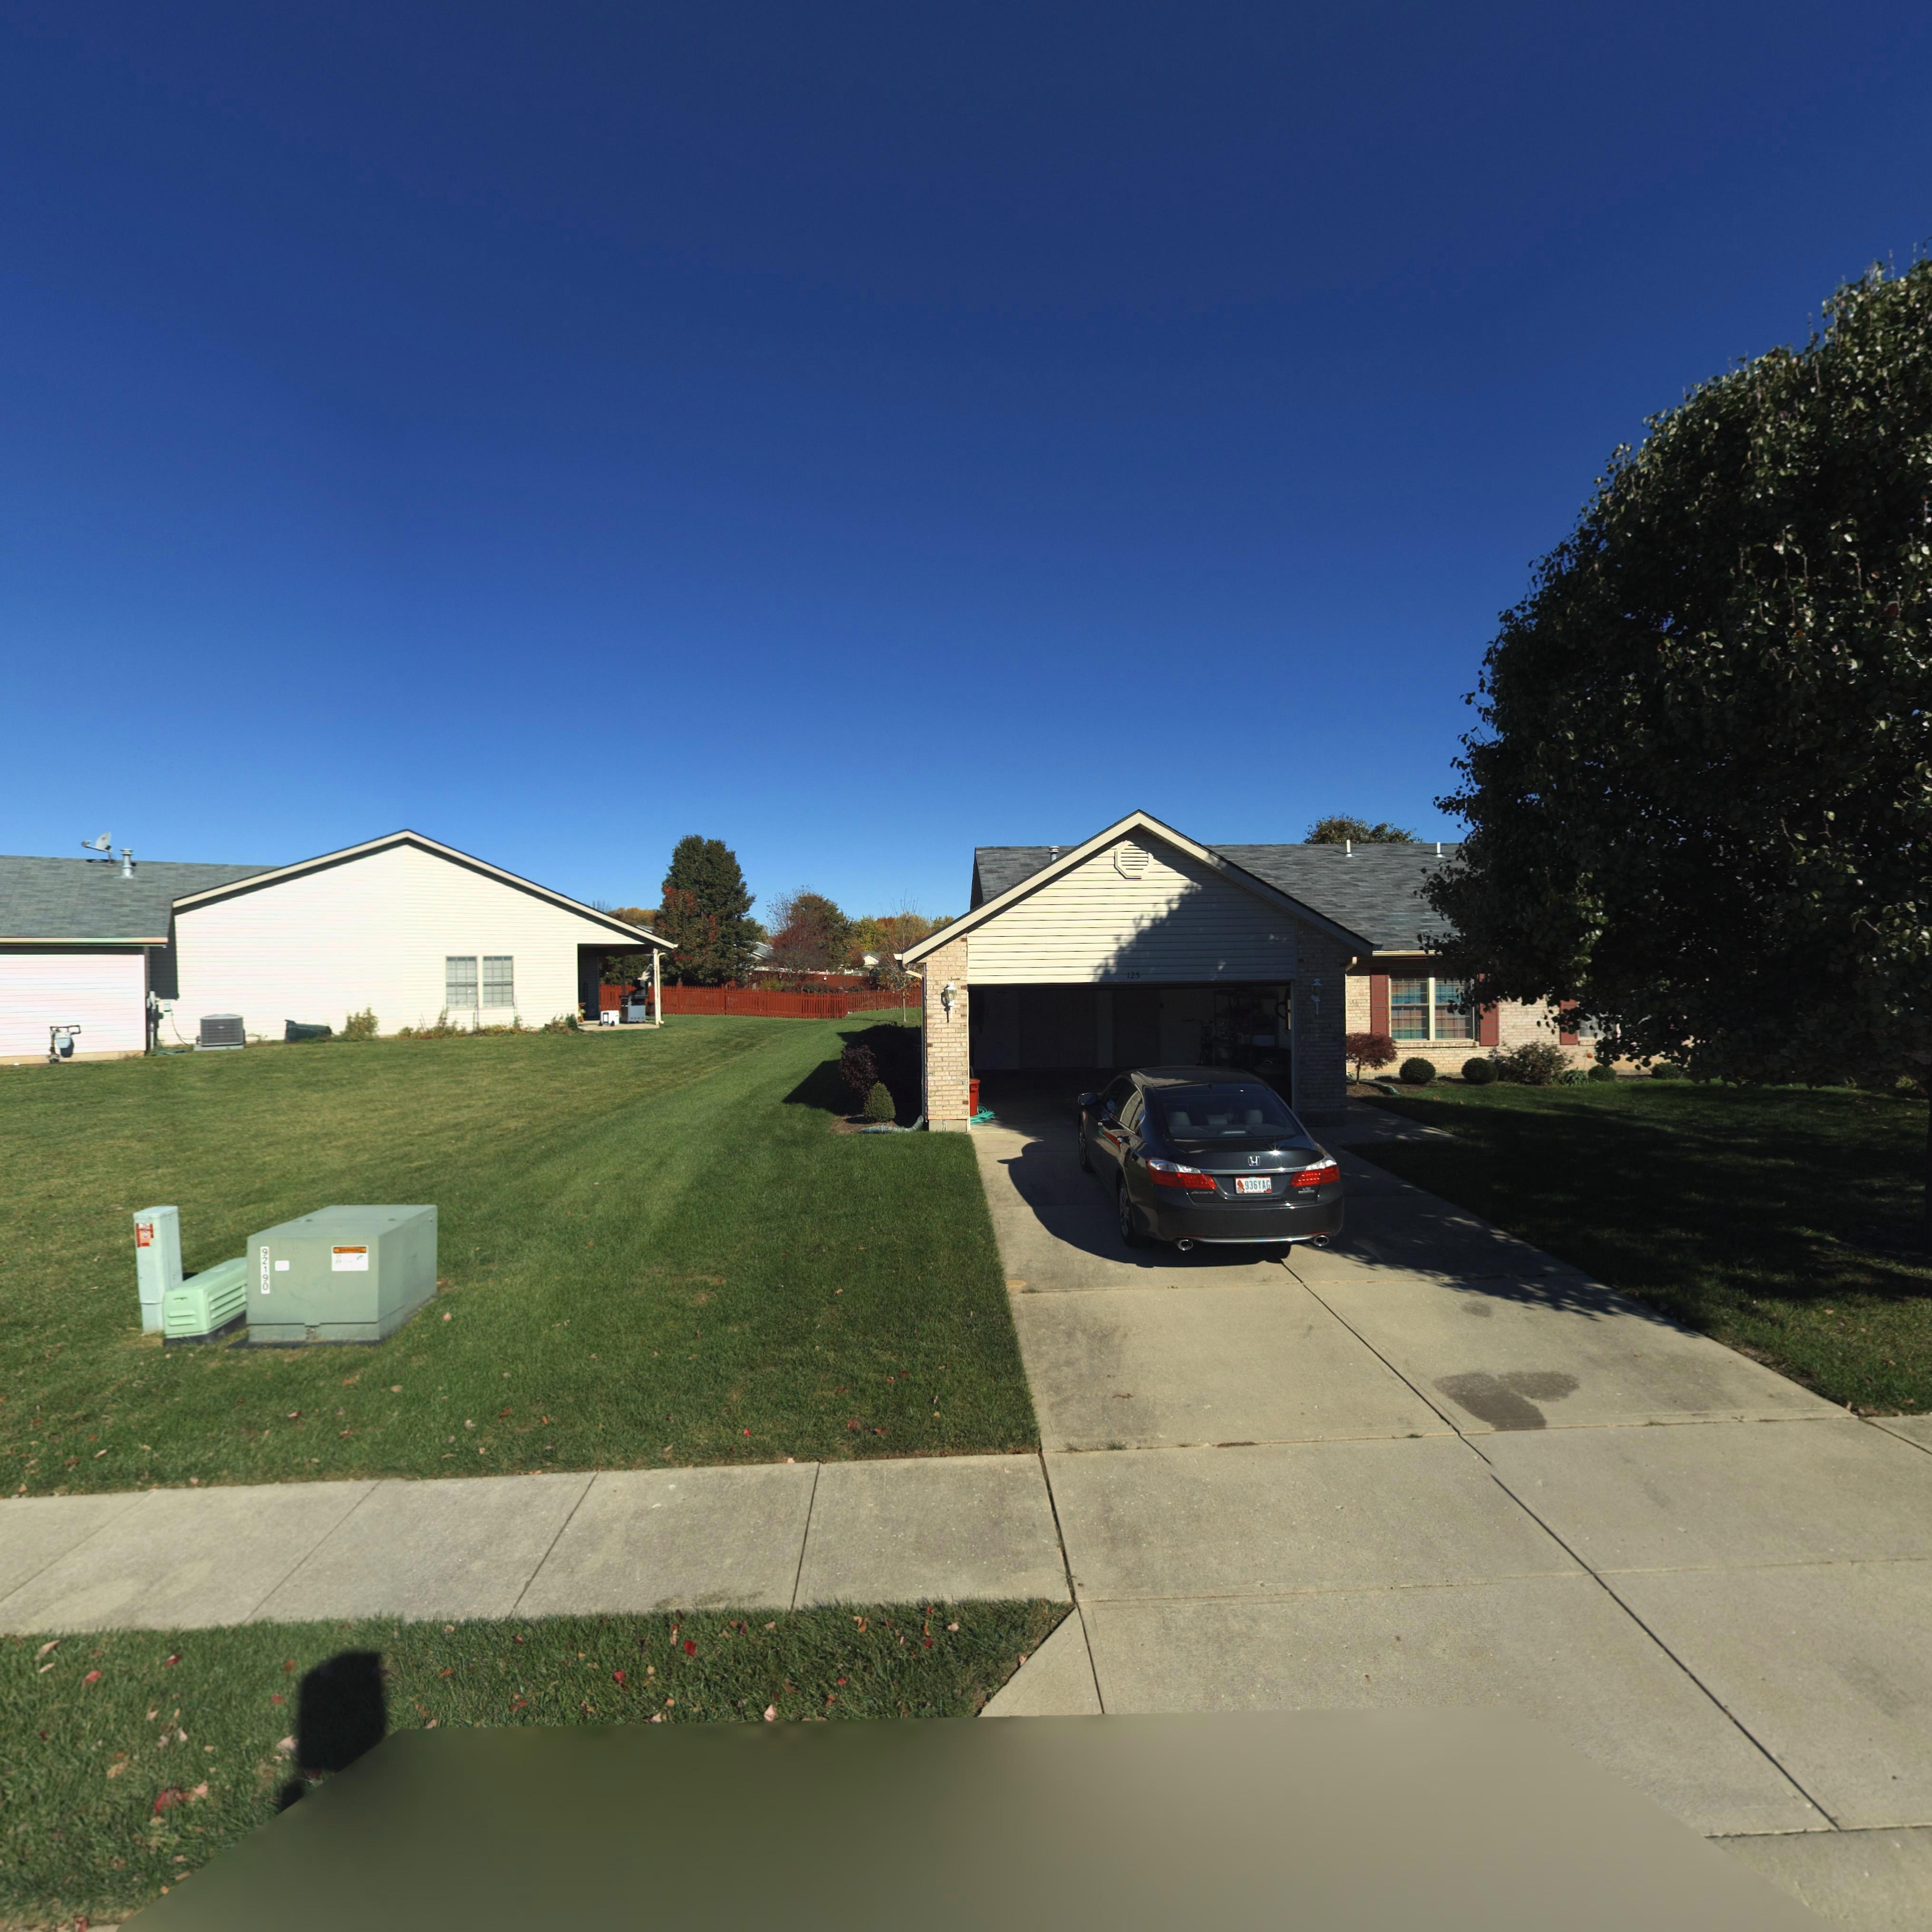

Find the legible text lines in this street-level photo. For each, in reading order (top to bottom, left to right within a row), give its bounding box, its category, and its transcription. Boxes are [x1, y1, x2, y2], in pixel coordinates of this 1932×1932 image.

[1127, 971, 1140, 979] StreetNumber: 125
[1242, 1179, 1271, 1190] None: 936YAG
[260, 1247, 270, 1292] None: 92190